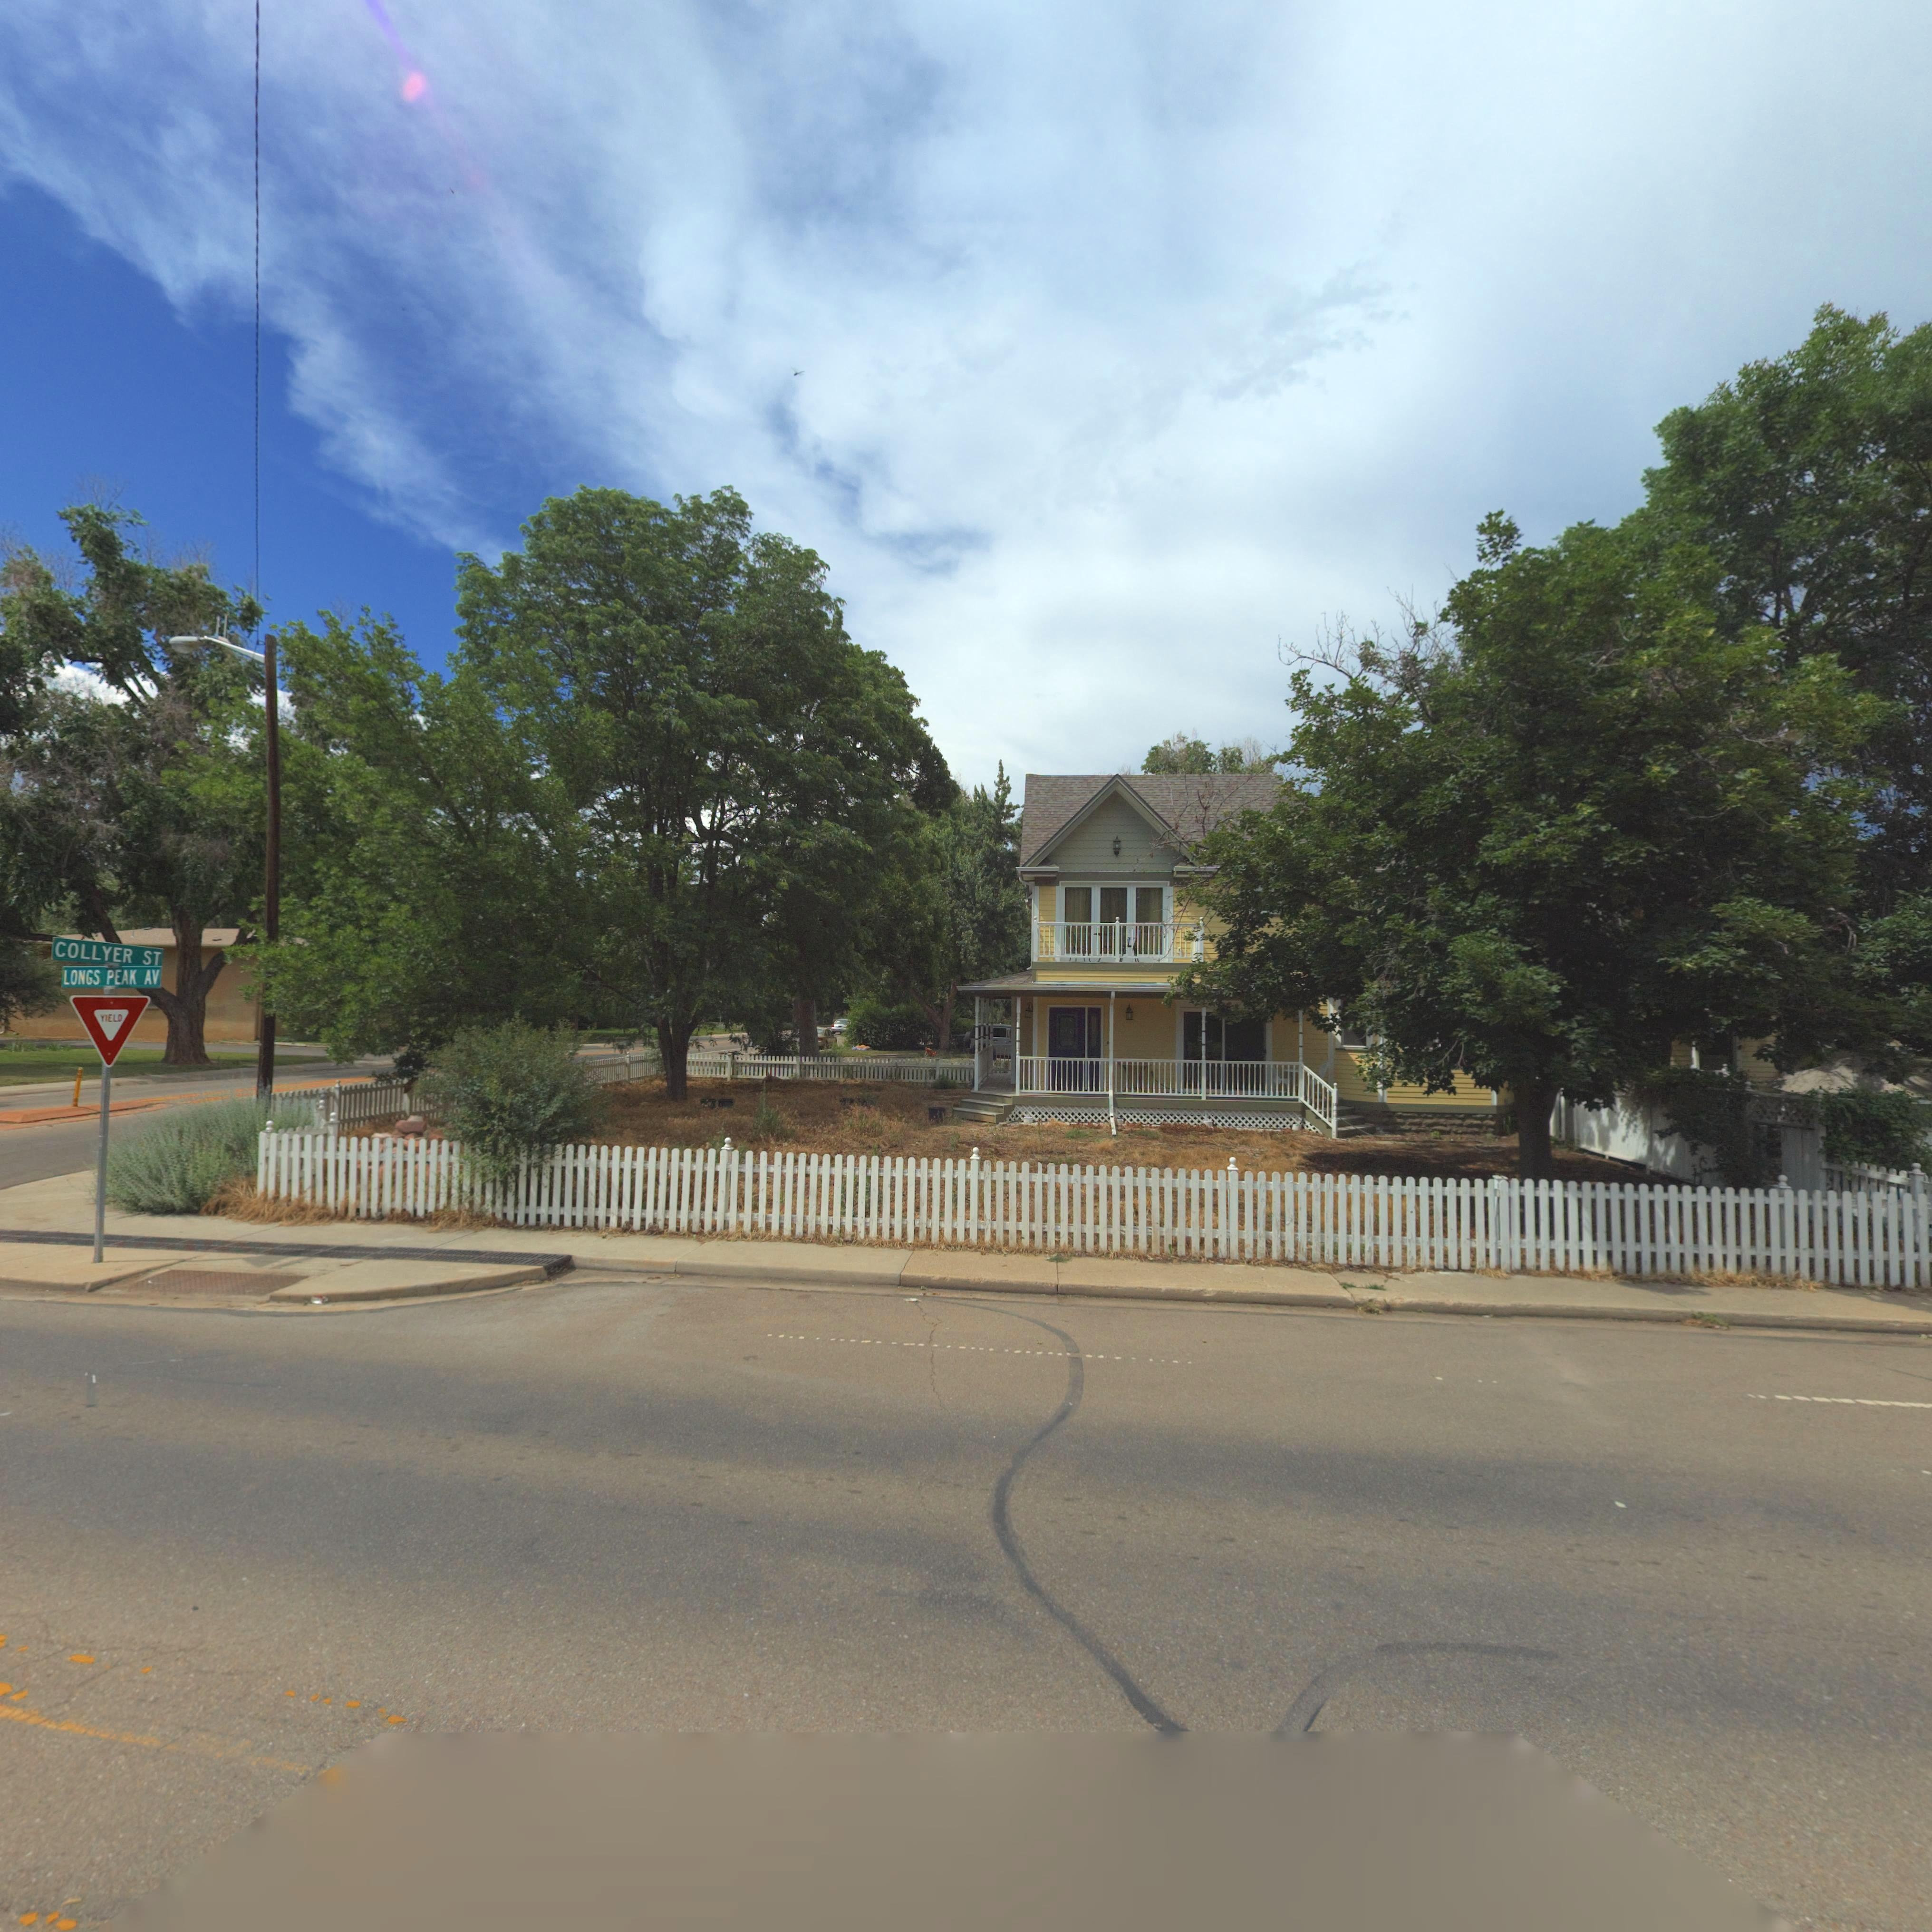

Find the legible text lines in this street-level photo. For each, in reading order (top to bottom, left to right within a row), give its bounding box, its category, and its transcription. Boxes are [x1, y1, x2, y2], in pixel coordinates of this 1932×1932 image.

[54, 940, 162, 966] StreetName: COLLYER ST
[62, 968, 160, 985] StreetName: LONGS PEAK AV